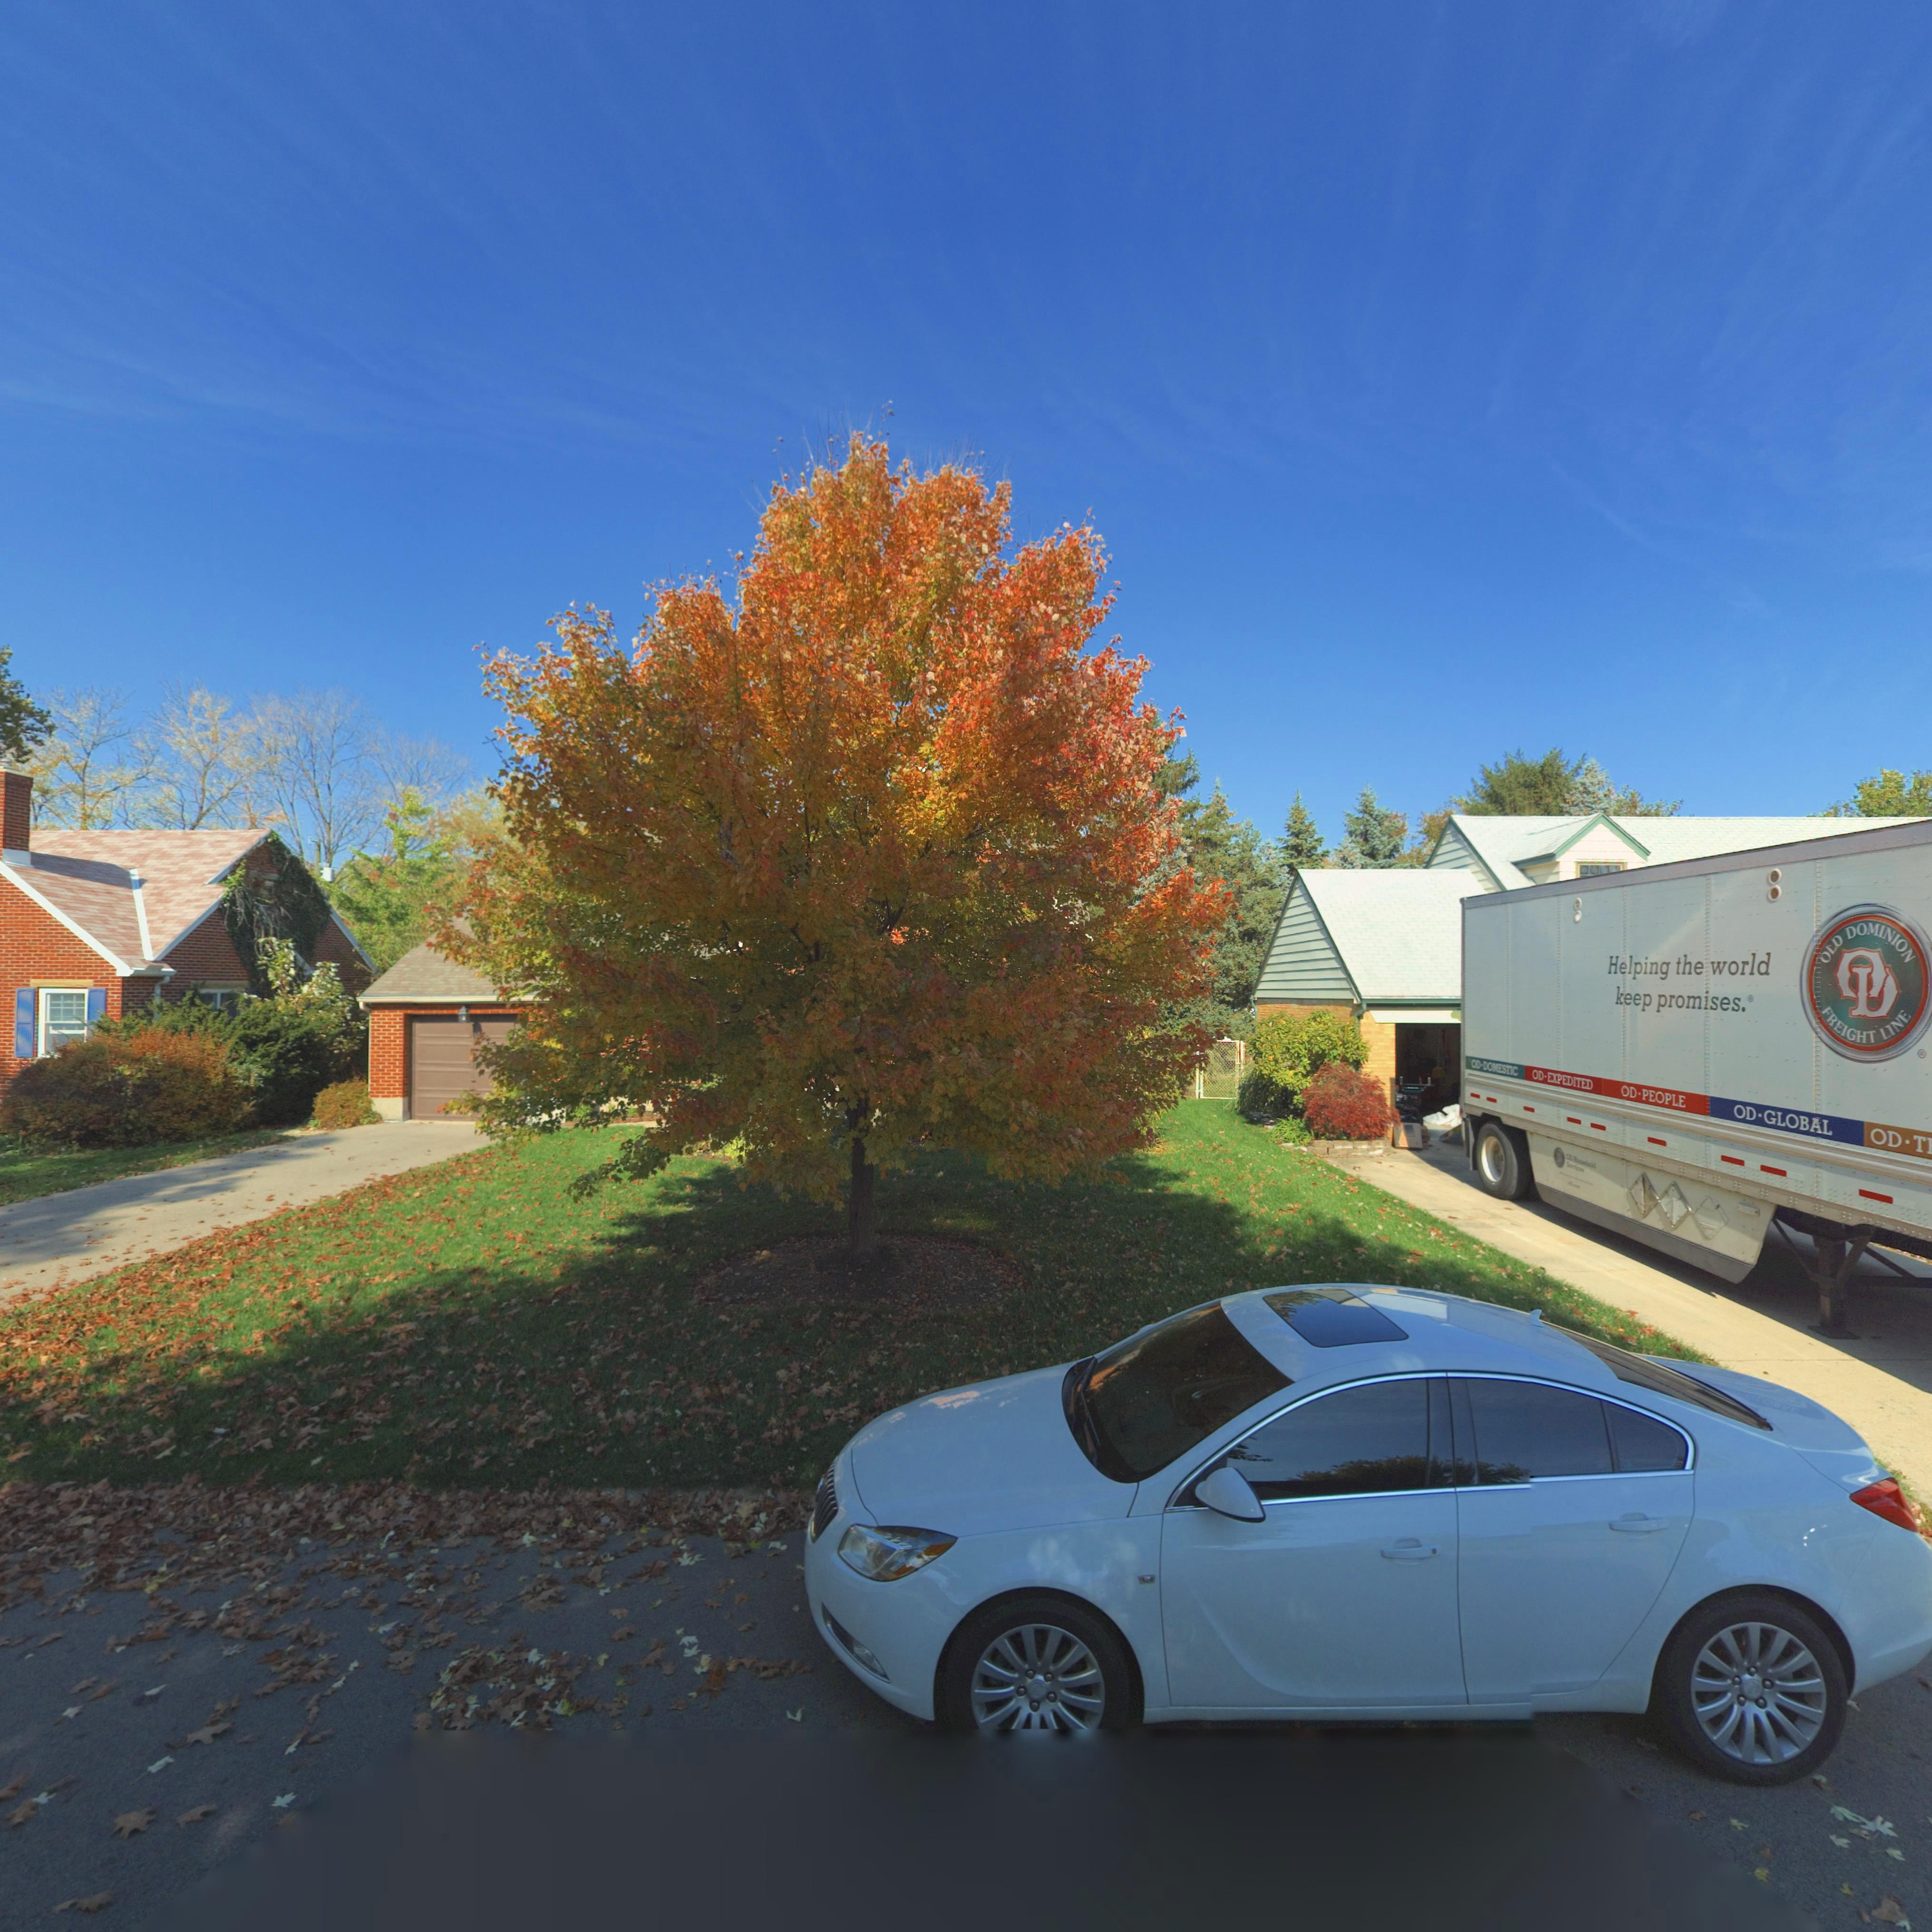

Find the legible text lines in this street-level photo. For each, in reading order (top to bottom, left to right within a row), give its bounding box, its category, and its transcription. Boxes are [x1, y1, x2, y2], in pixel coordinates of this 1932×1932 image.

[1820, 922, 1918, 964] None: OLD DOMINION
[1607, 951, 1773, 981] None: Helping the world
[1615, 985, 1746, 1013] None: keep promises.
[1820, 1005, 1913, 1044] None: FREIGHT LINE
[1470, 1059, 1519, 1077] None: OD*DOMESTIC
[1532, 1069, 1594, 1091] None: OD*EXPEDITED
[1620, 1085, 1686, 1109] None: OD*PEOPLE
[1733, 1104, 1833, 1137] None: OD*GLOBAL
[1869, 1127, 1927, 1154] None: OD*T
[1565, 1153, 1574, 1162] None: OD
[1565, 1161, 1585, 1173] None: Services